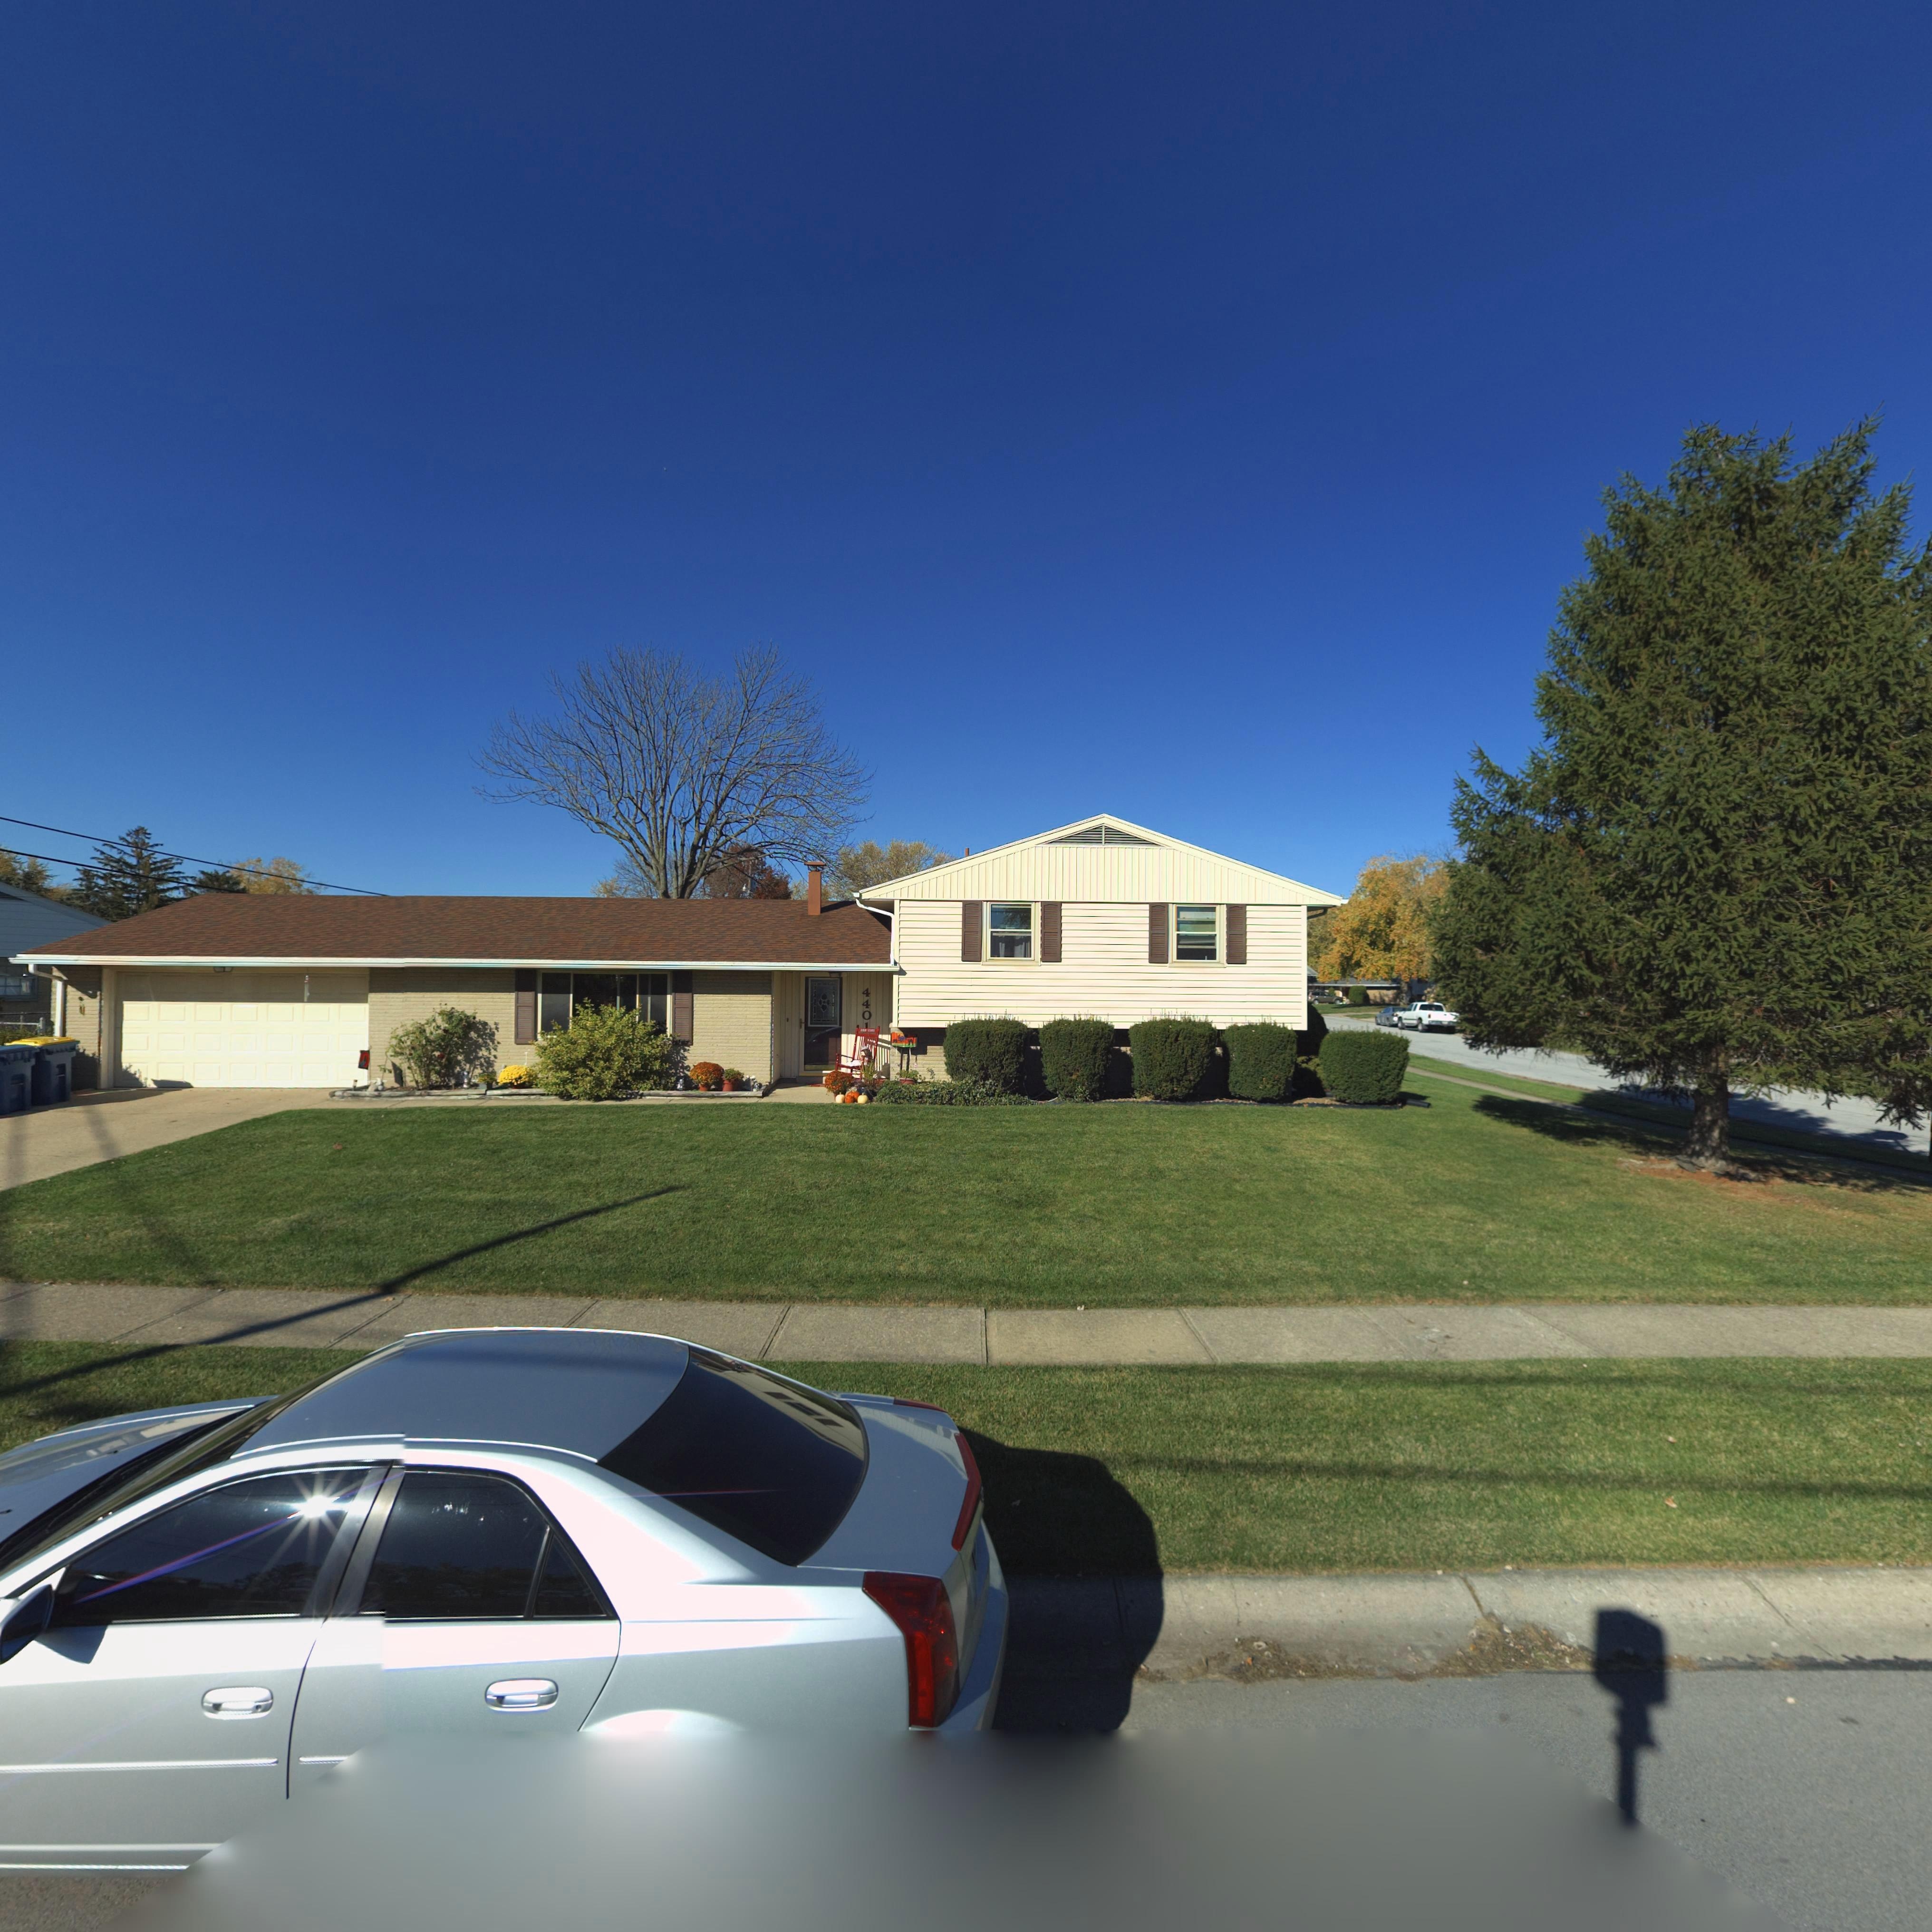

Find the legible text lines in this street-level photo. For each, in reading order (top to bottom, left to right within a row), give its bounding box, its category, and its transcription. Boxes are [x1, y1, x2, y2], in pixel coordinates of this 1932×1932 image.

[861, 986, 872, 1029] StreetNumber: 4401